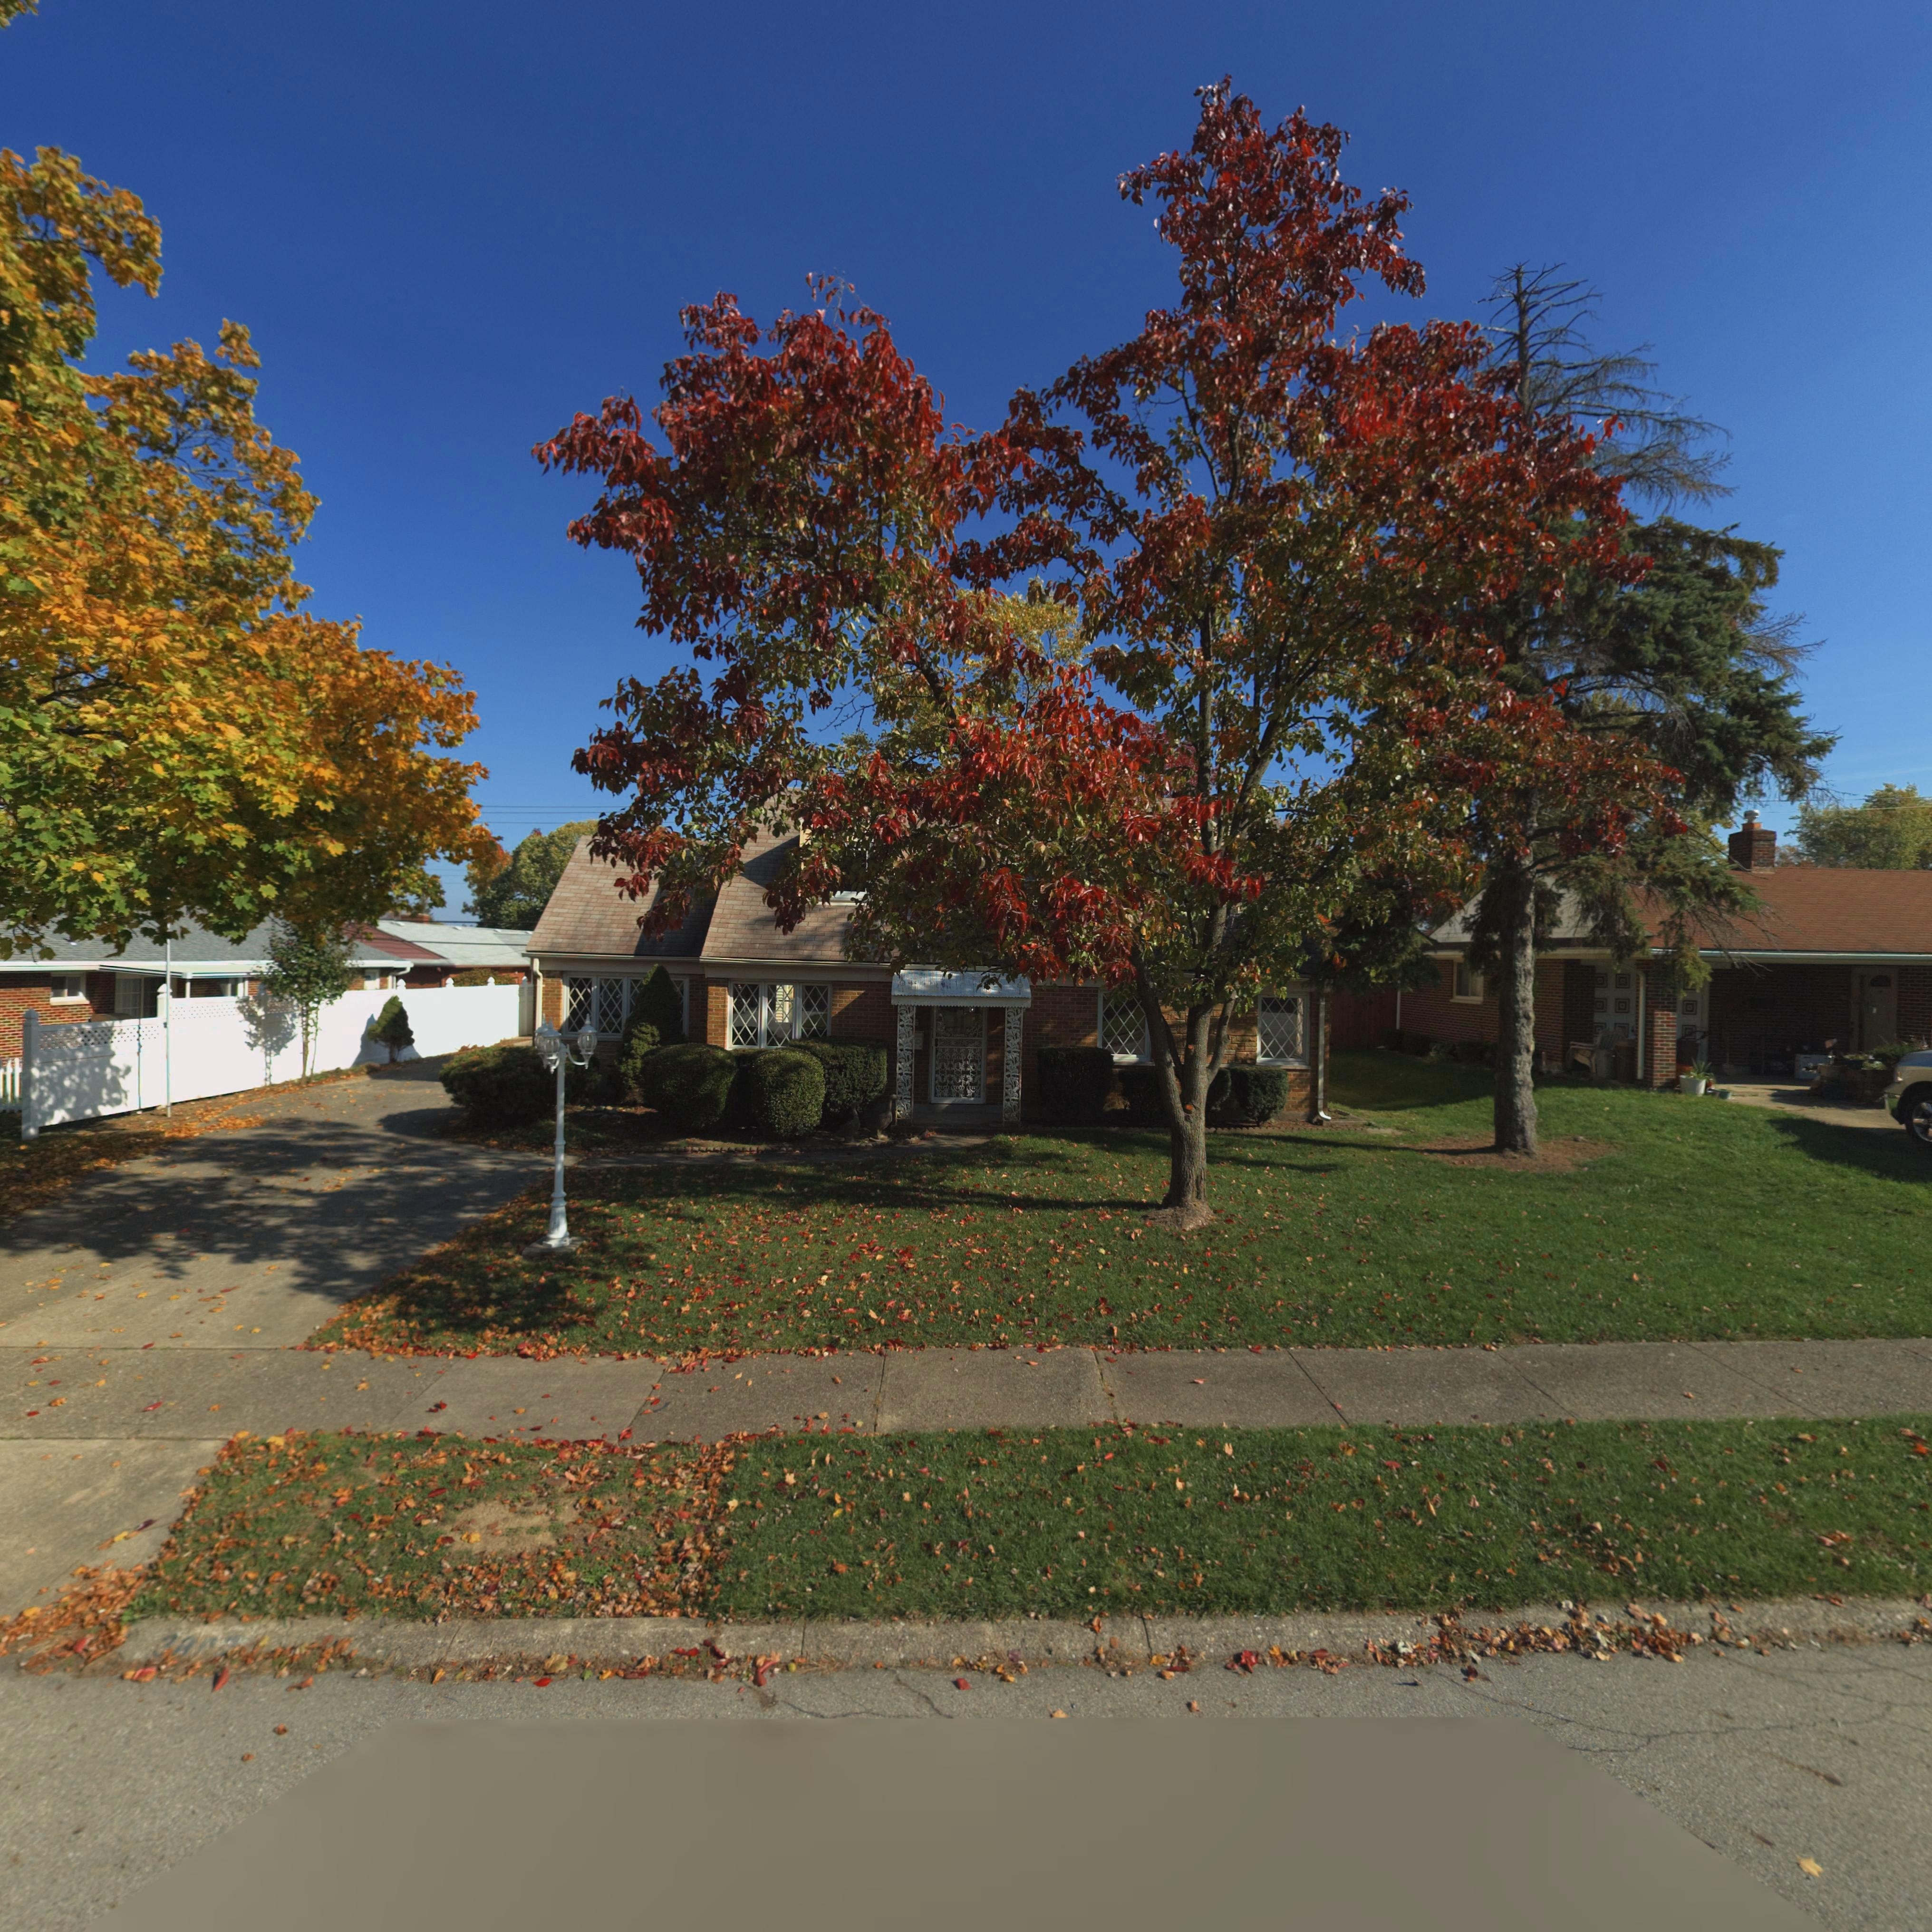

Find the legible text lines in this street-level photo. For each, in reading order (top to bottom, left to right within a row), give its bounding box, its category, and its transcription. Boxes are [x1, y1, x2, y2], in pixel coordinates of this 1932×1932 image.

[915, 1019, 919, 1025] StreetNumber: 2